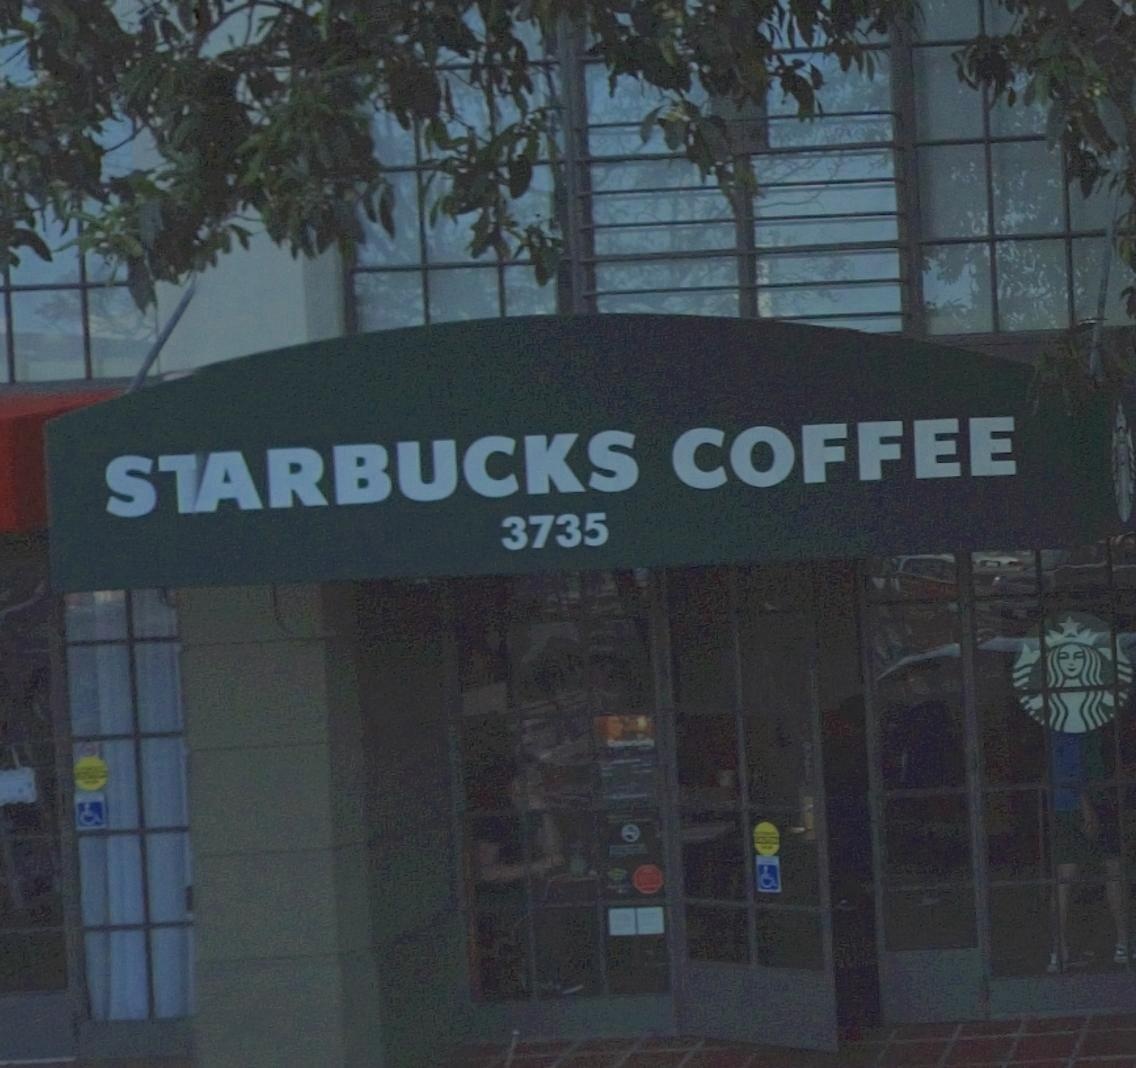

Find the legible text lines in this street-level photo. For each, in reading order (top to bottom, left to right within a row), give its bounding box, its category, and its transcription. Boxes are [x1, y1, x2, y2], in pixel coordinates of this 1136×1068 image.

[101, 410, 1024, 523] BusinessName: S**RBUCKS COFFEE
[496, 509, 613, 554] StreetNumber: 3735